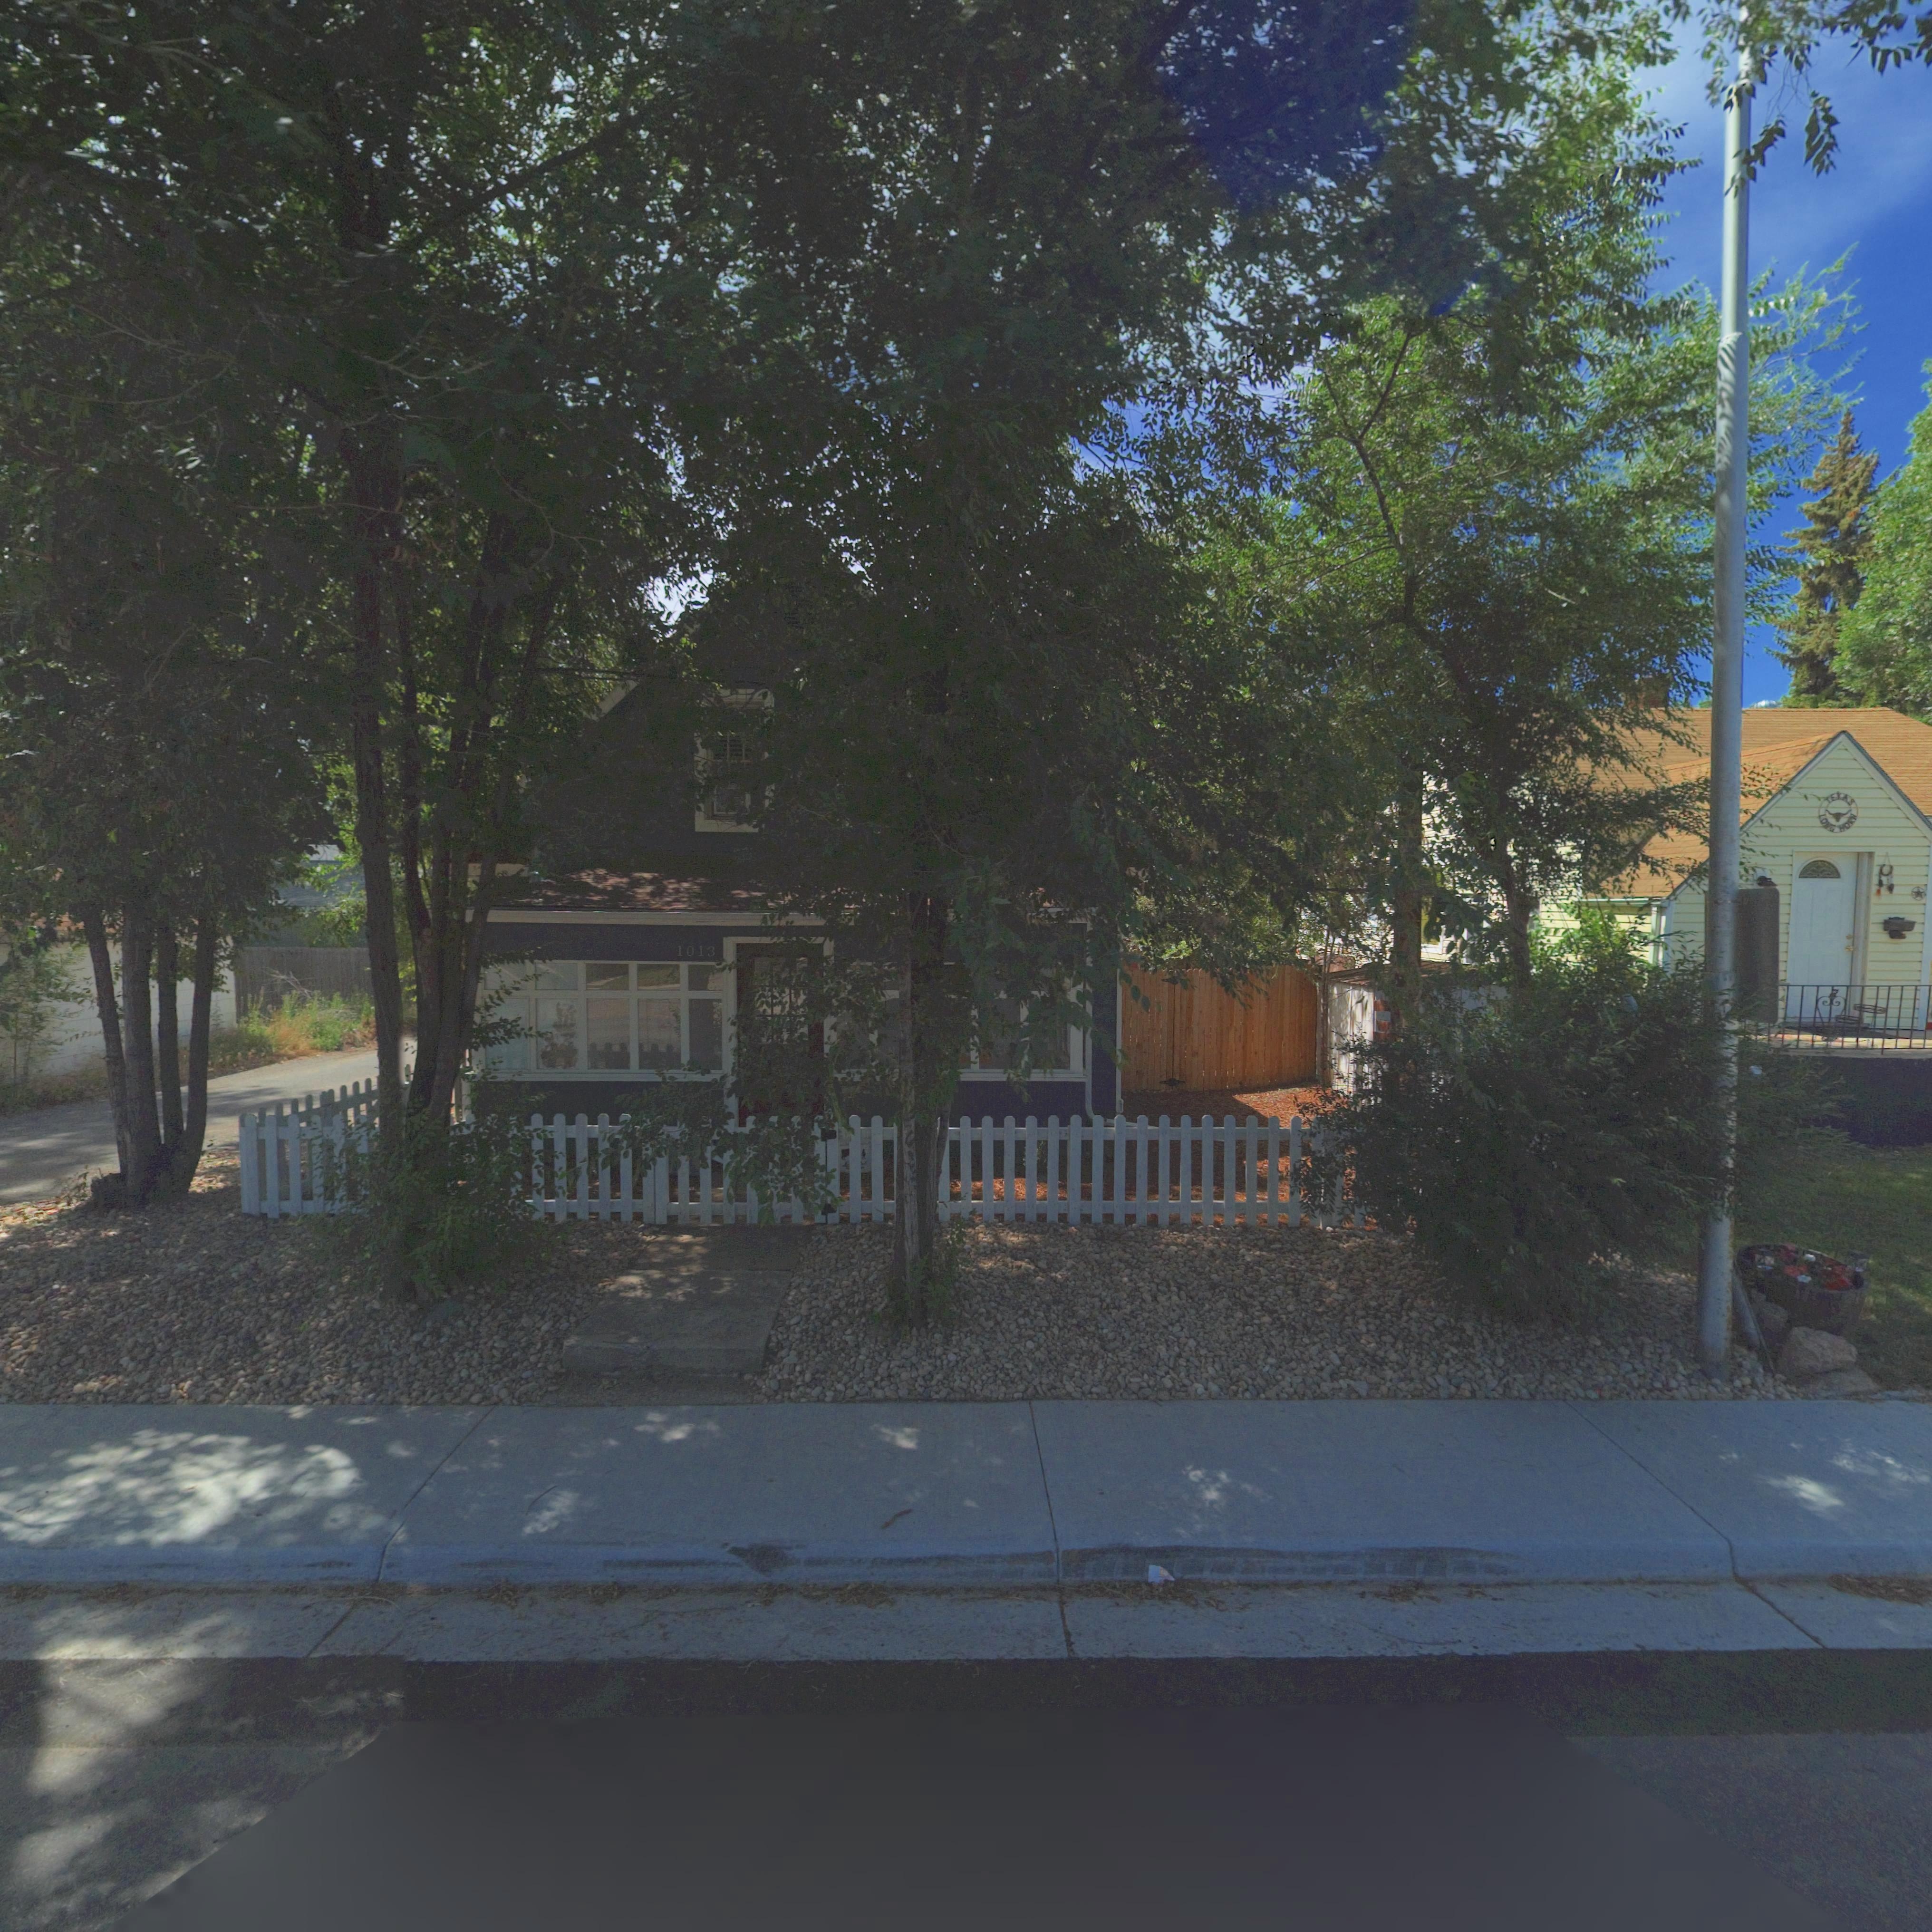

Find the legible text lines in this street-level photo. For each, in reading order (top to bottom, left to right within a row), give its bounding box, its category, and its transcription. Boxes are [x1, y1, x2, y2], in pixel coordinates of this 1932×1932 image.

[676, 944, 717, 957] StreetNumber: 1013